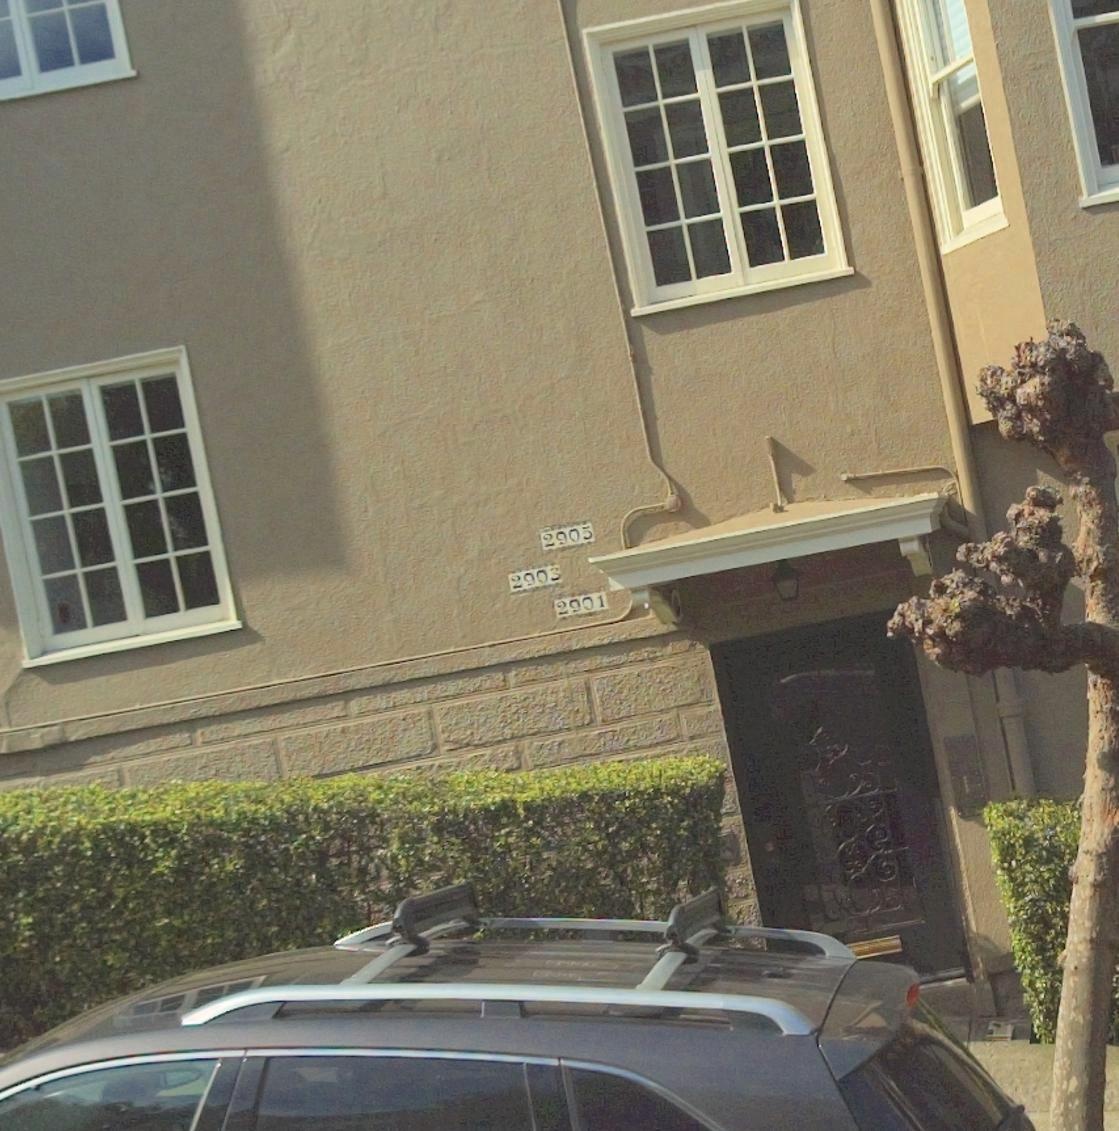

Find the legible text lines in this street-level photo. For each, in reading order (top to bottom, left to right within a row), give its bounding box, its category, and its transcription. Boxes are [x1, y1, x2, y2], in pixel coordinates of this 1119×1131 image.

[540, 522, 596, 551] StreetNumber: 2905
[509, 564, 564, 593] StreetNumber: 2903
[554, 590, 607, 618] StreetNumber: 2901